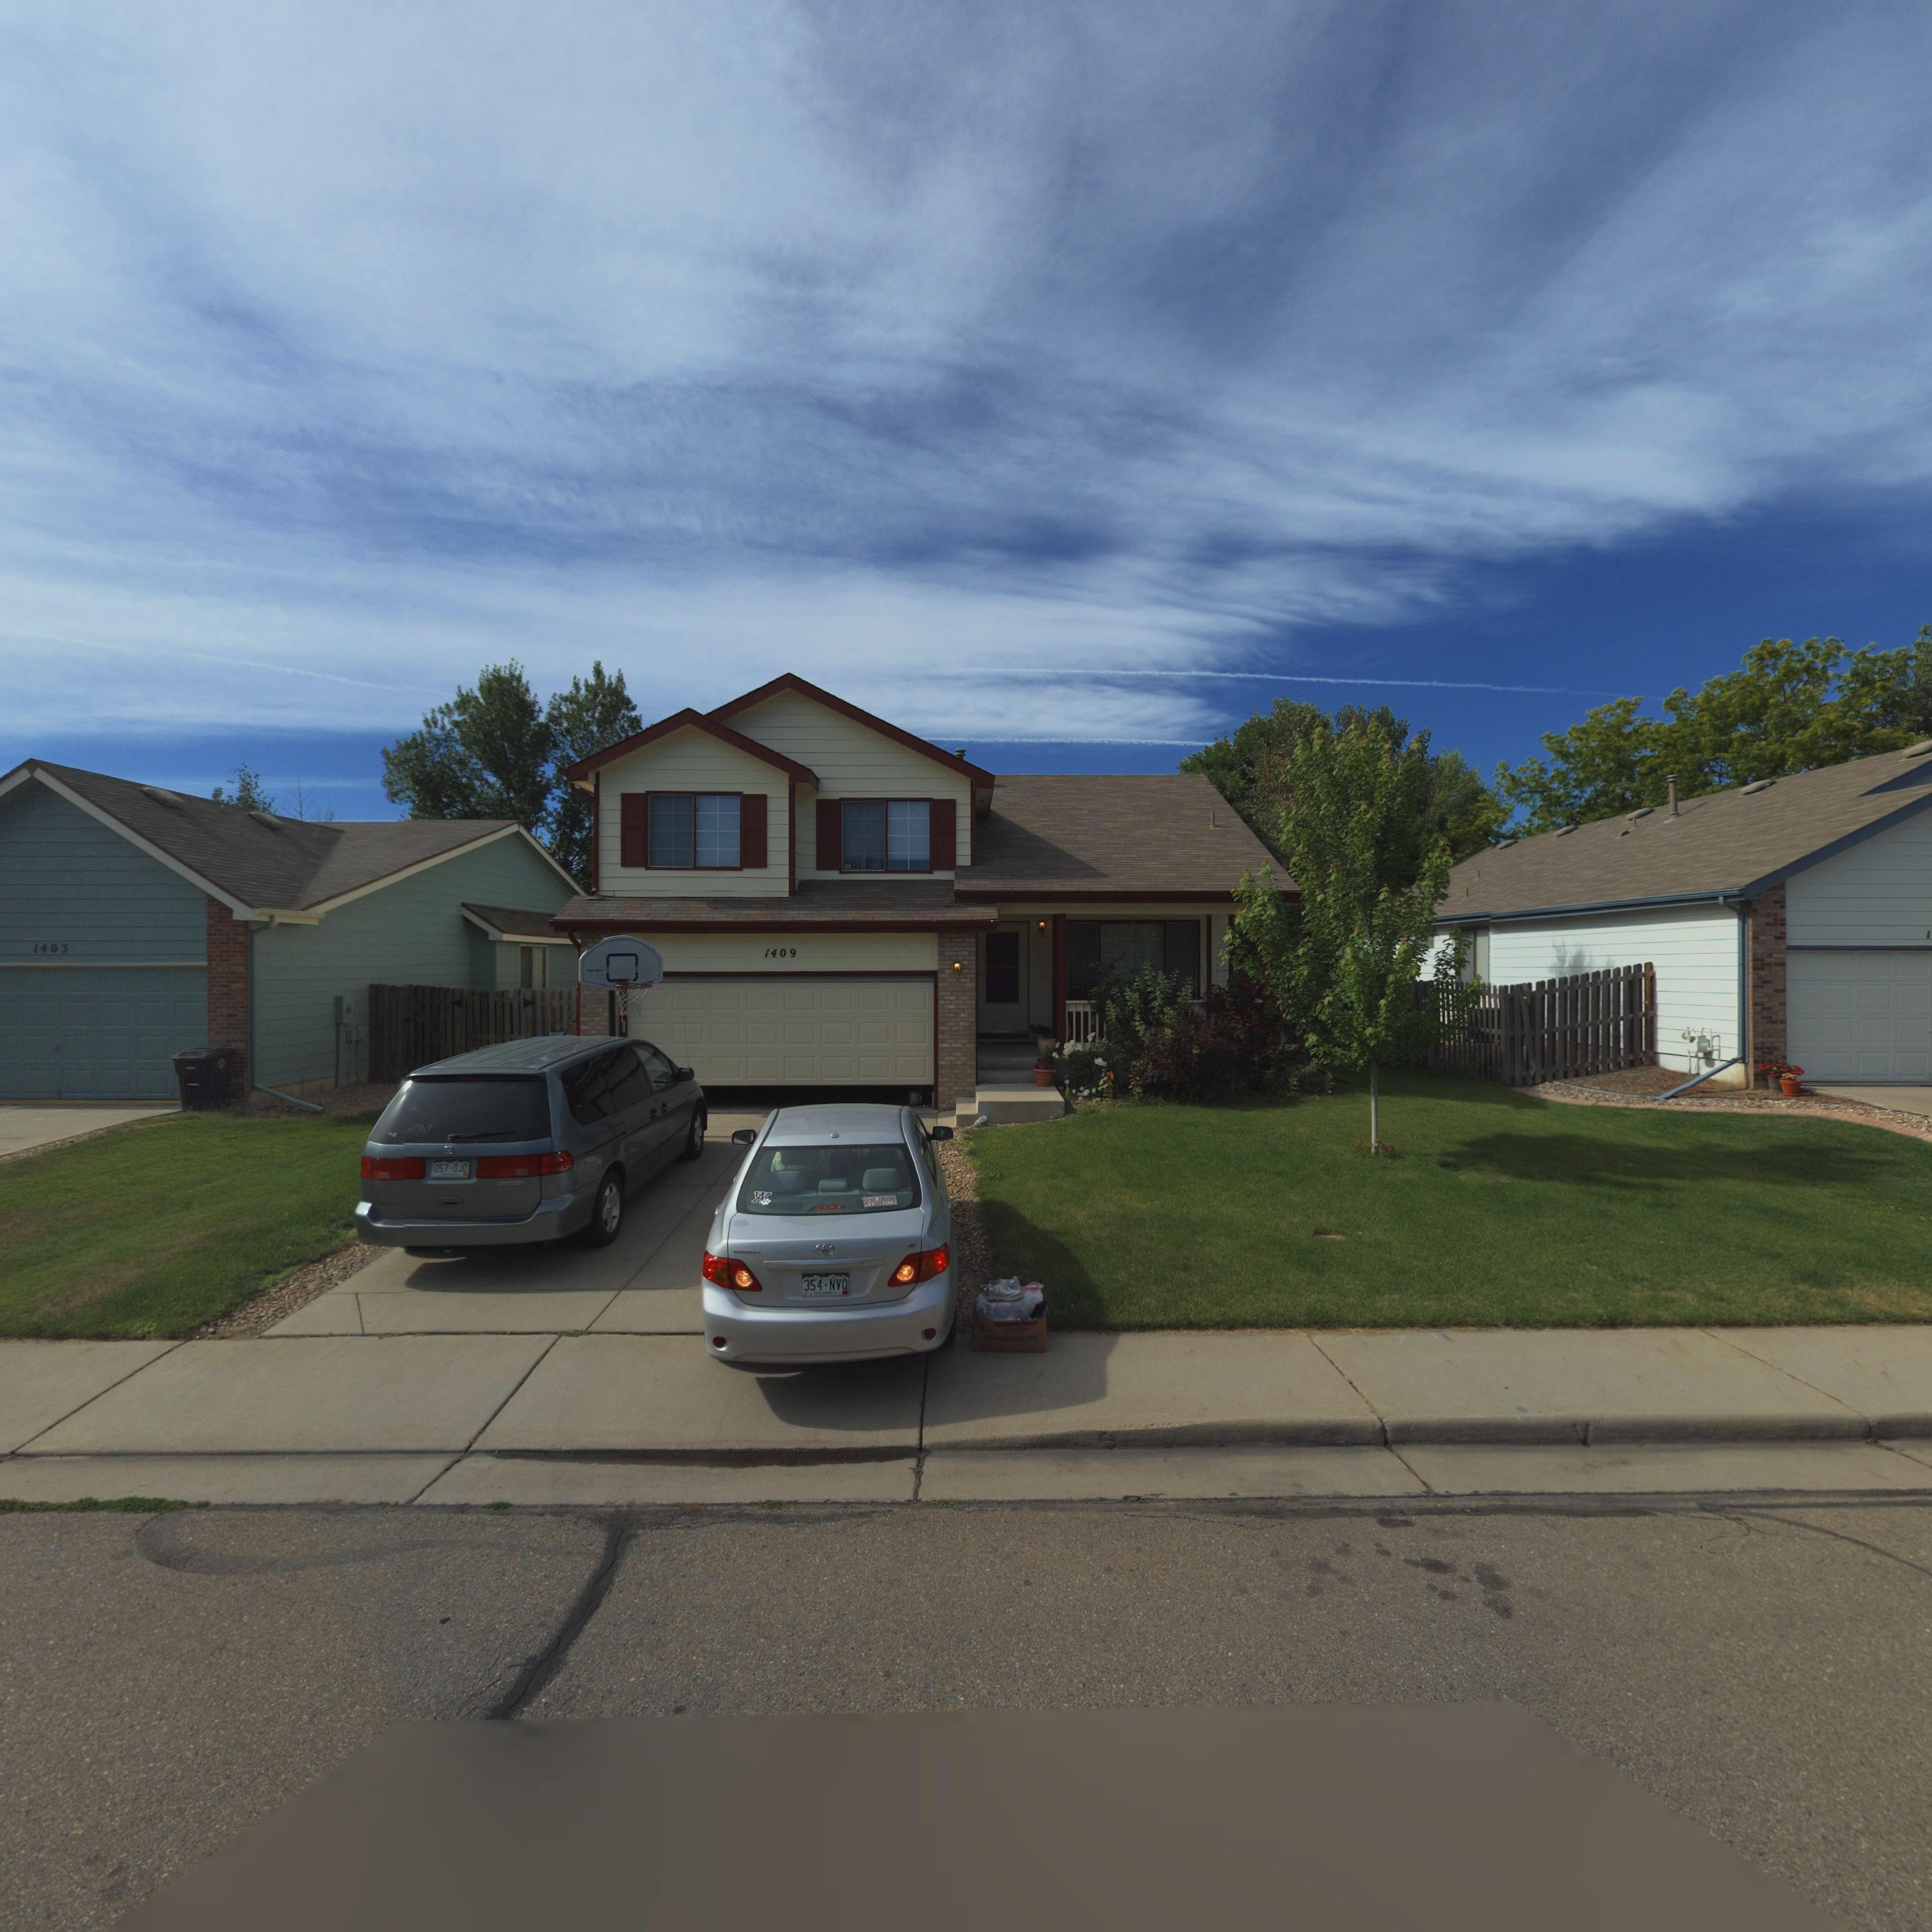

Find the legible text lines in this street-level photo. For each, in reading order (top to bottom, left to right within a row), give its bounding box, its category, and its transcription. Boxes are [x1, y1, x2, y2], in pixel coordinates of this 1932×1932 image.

[1926, 930, 1931, 938] StreetNumber: 1
[34, 942, 69, 953] StreetNumber: 1403
[764, 947, 796, 958] StreetNumber: 1409